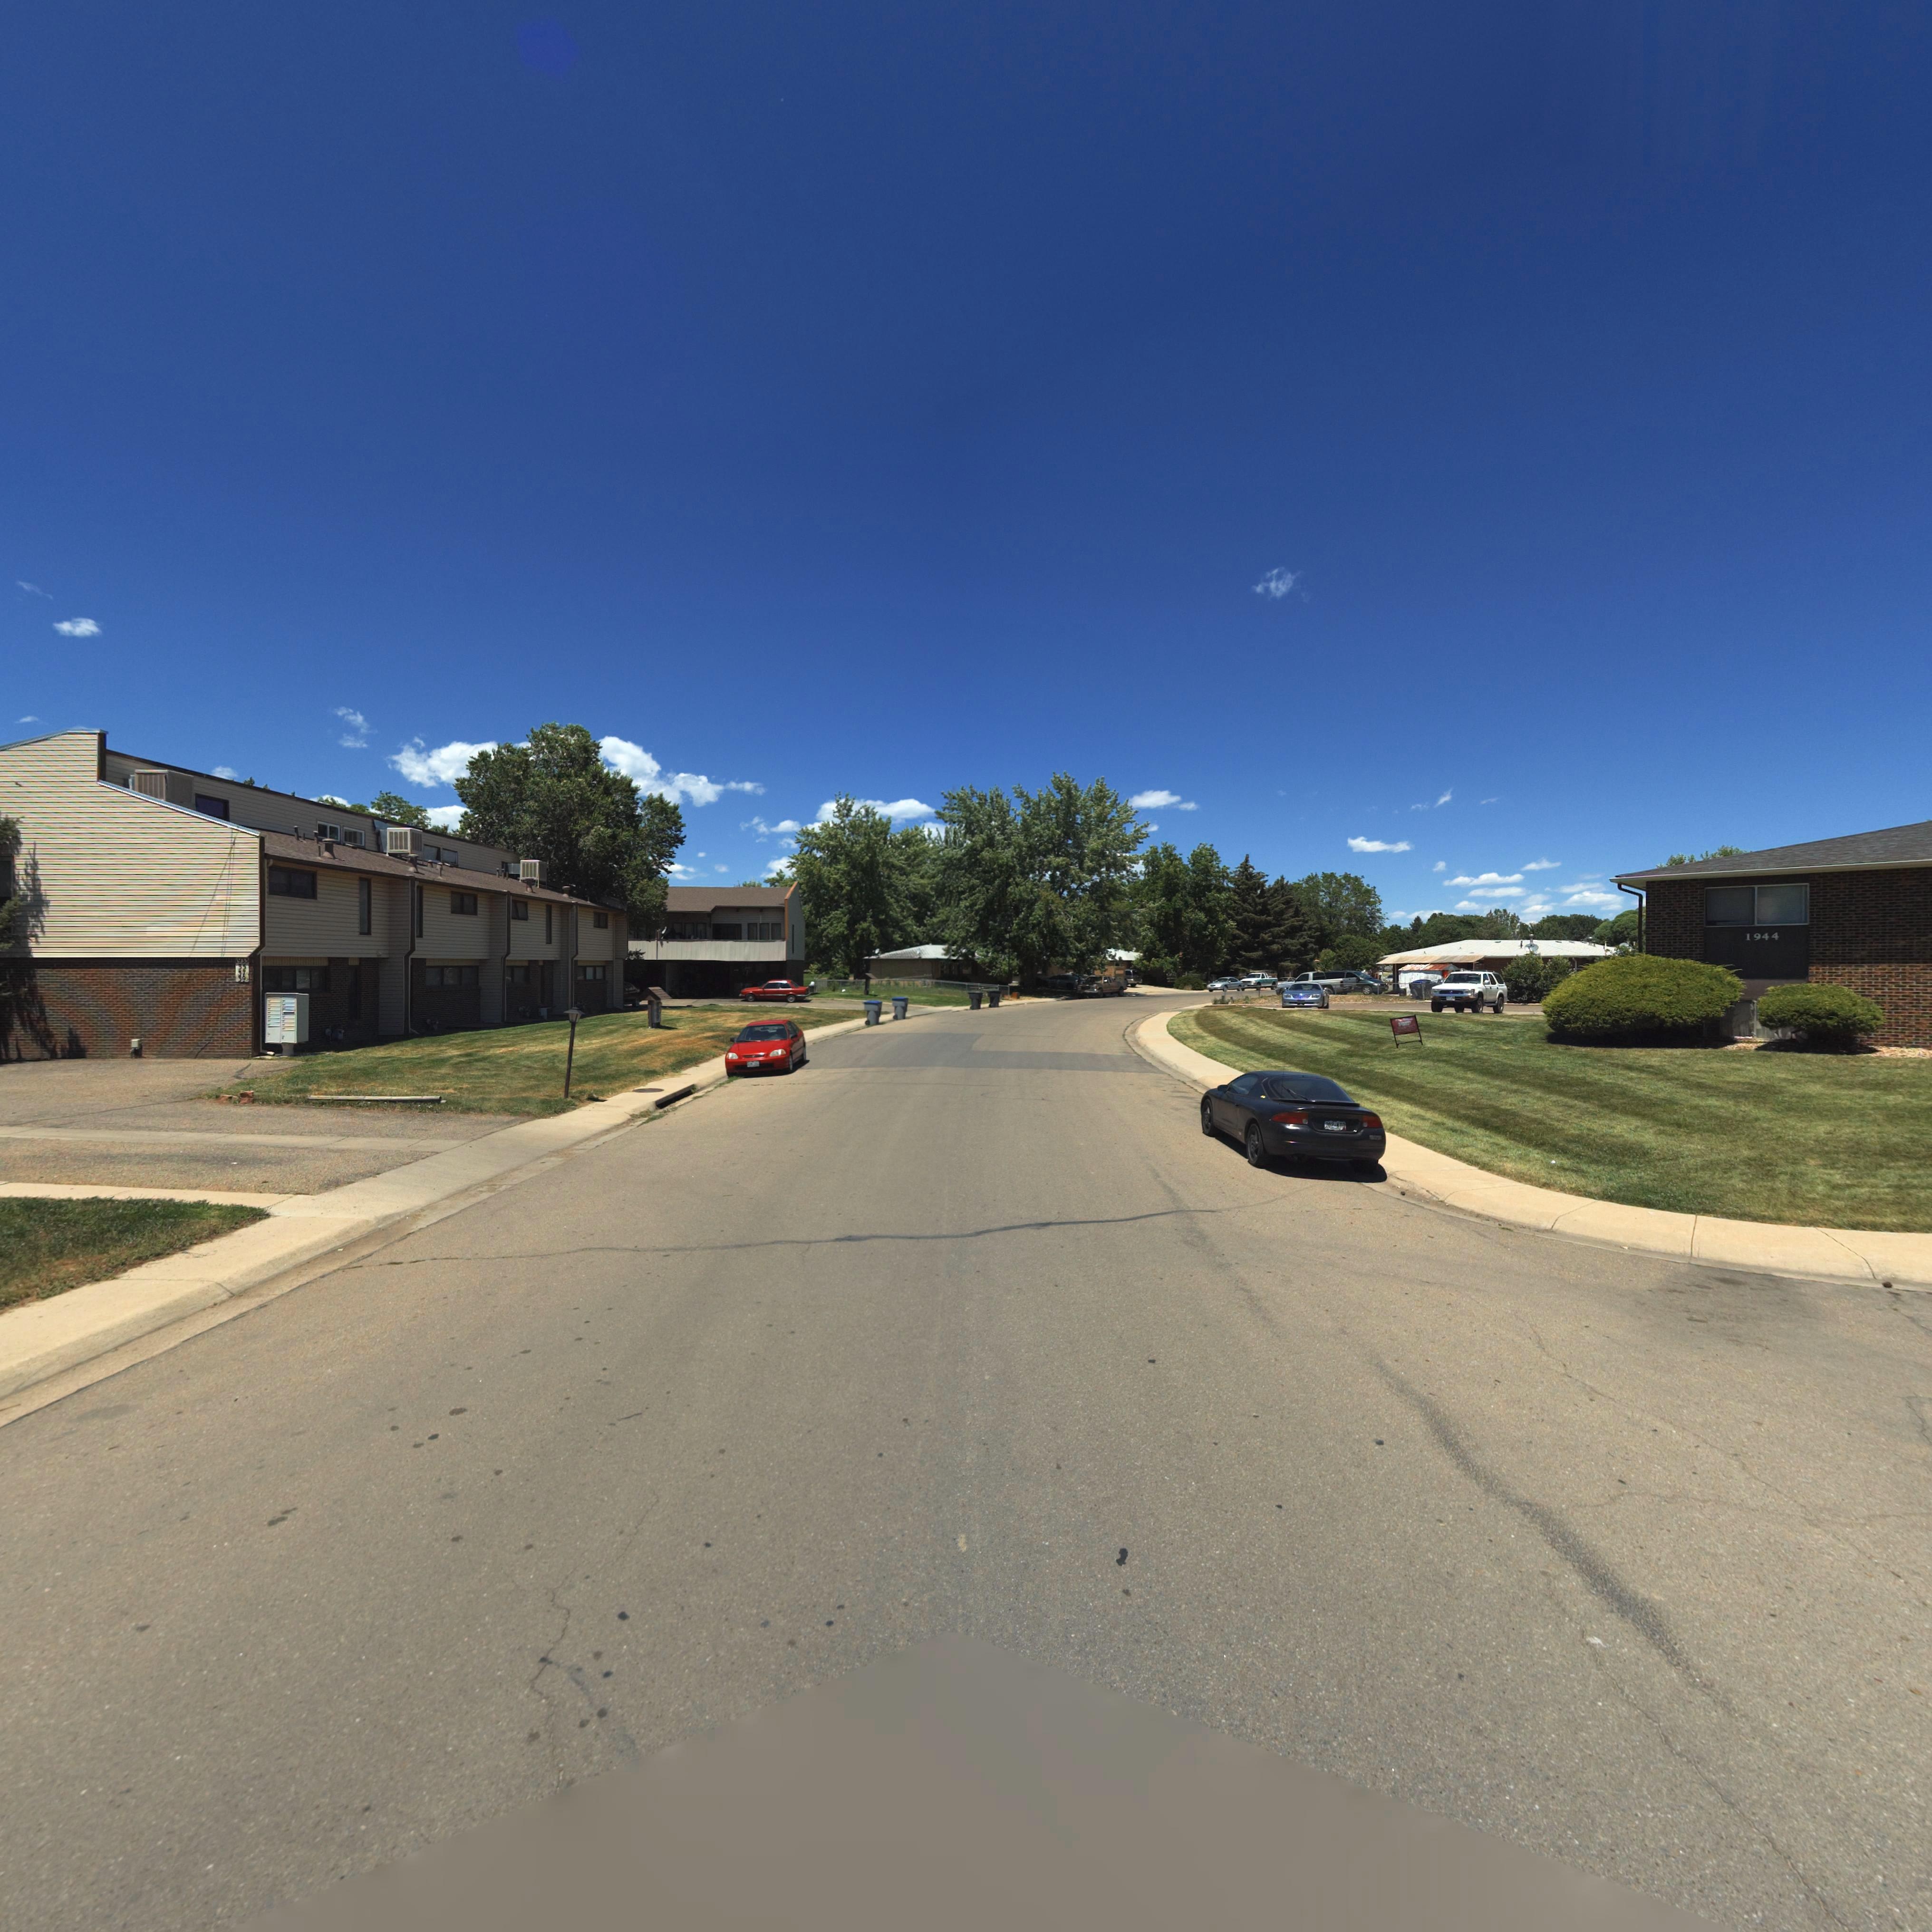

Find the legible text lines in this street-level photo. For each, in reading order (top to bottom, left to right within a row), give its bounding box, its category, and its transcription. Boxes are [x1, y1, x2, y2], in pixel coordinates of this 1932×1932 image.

[1745, 931, 1780, 941] StreetNumber: 1944
[234, 957, 249, 963] StreetNumber: 1933
[238, 963, 246, 970] StreetNumber: 35
[237, 969, 246, 976] StreetNumber: 37
[237, 975, 246, 983] StreetNumber: 39